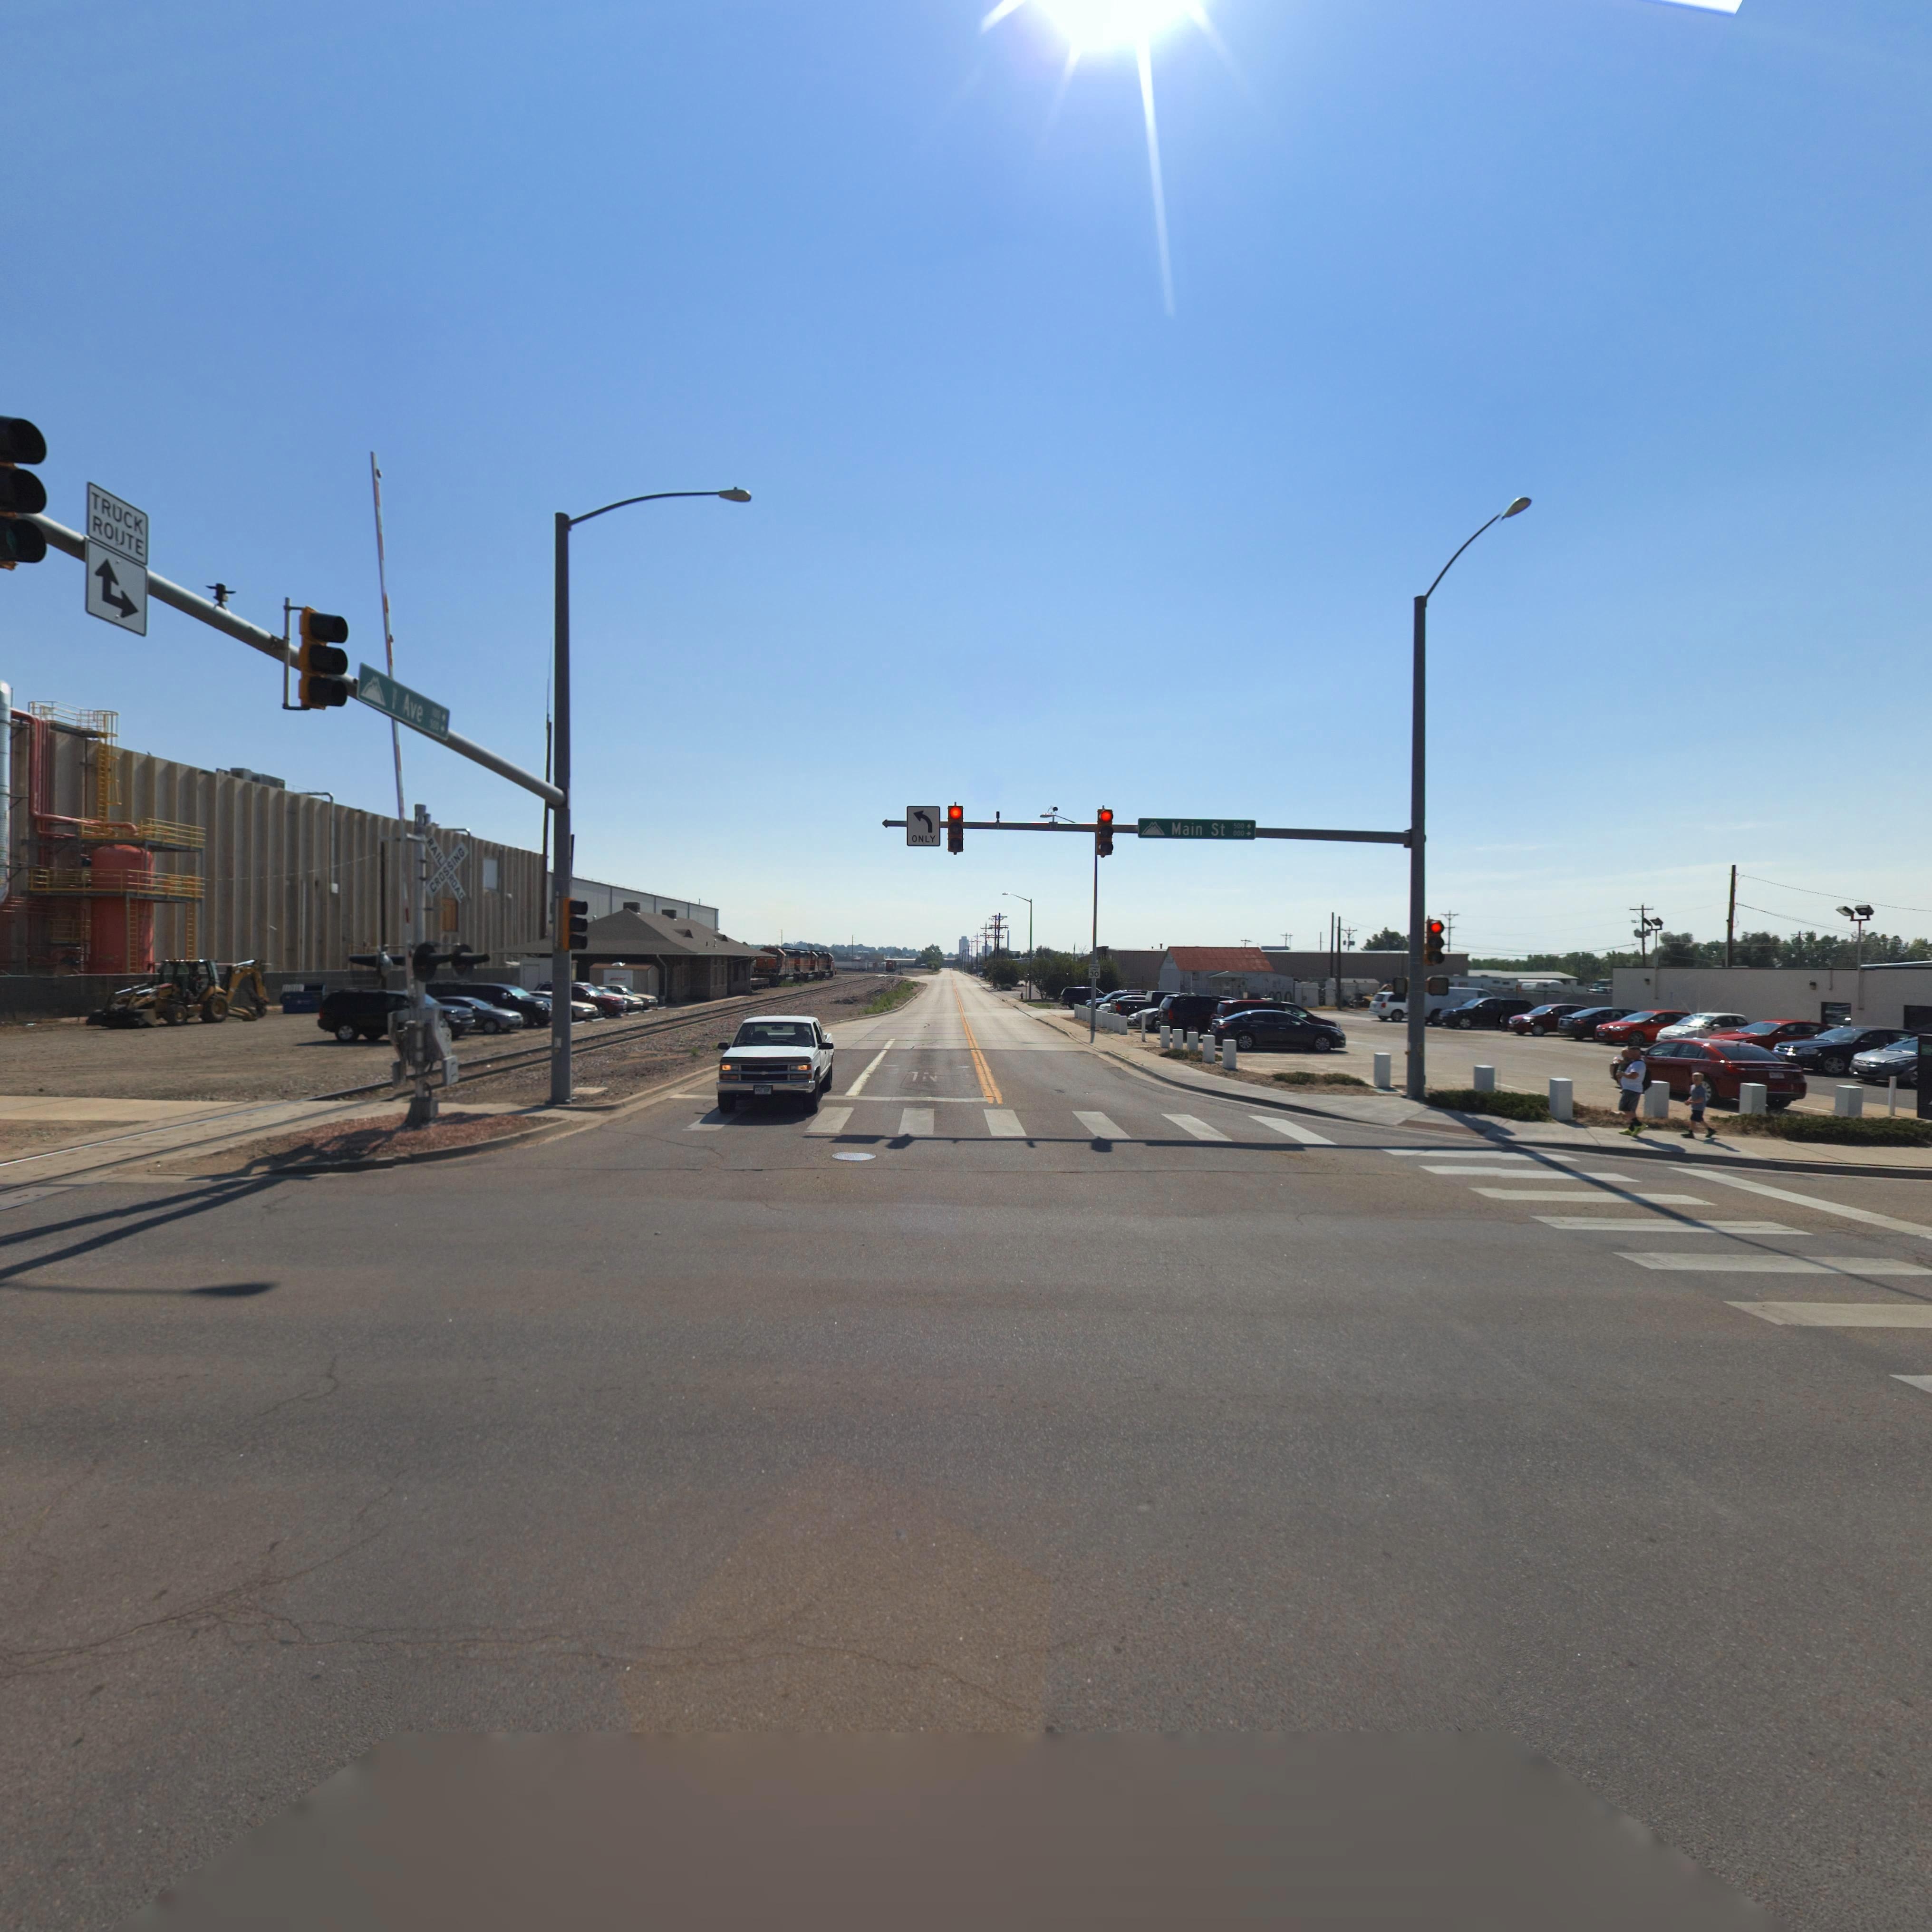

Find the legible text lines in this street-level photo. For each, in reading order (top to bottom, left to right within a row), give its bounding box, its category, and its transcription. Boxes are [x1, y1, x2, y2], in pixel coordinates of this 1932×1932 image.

[391, 686, 424, 723] StreetName: 1 Ave
[429, 717, 446, 734] StreetNumberRange: 5** ->
[1171, 821, 1226, 837] StreetName: Main St
[1233, 822, 1245, 829] StreetNumberRange: 500
[1233, 830, 1251, 836] StreetNumberRange: 000 ->